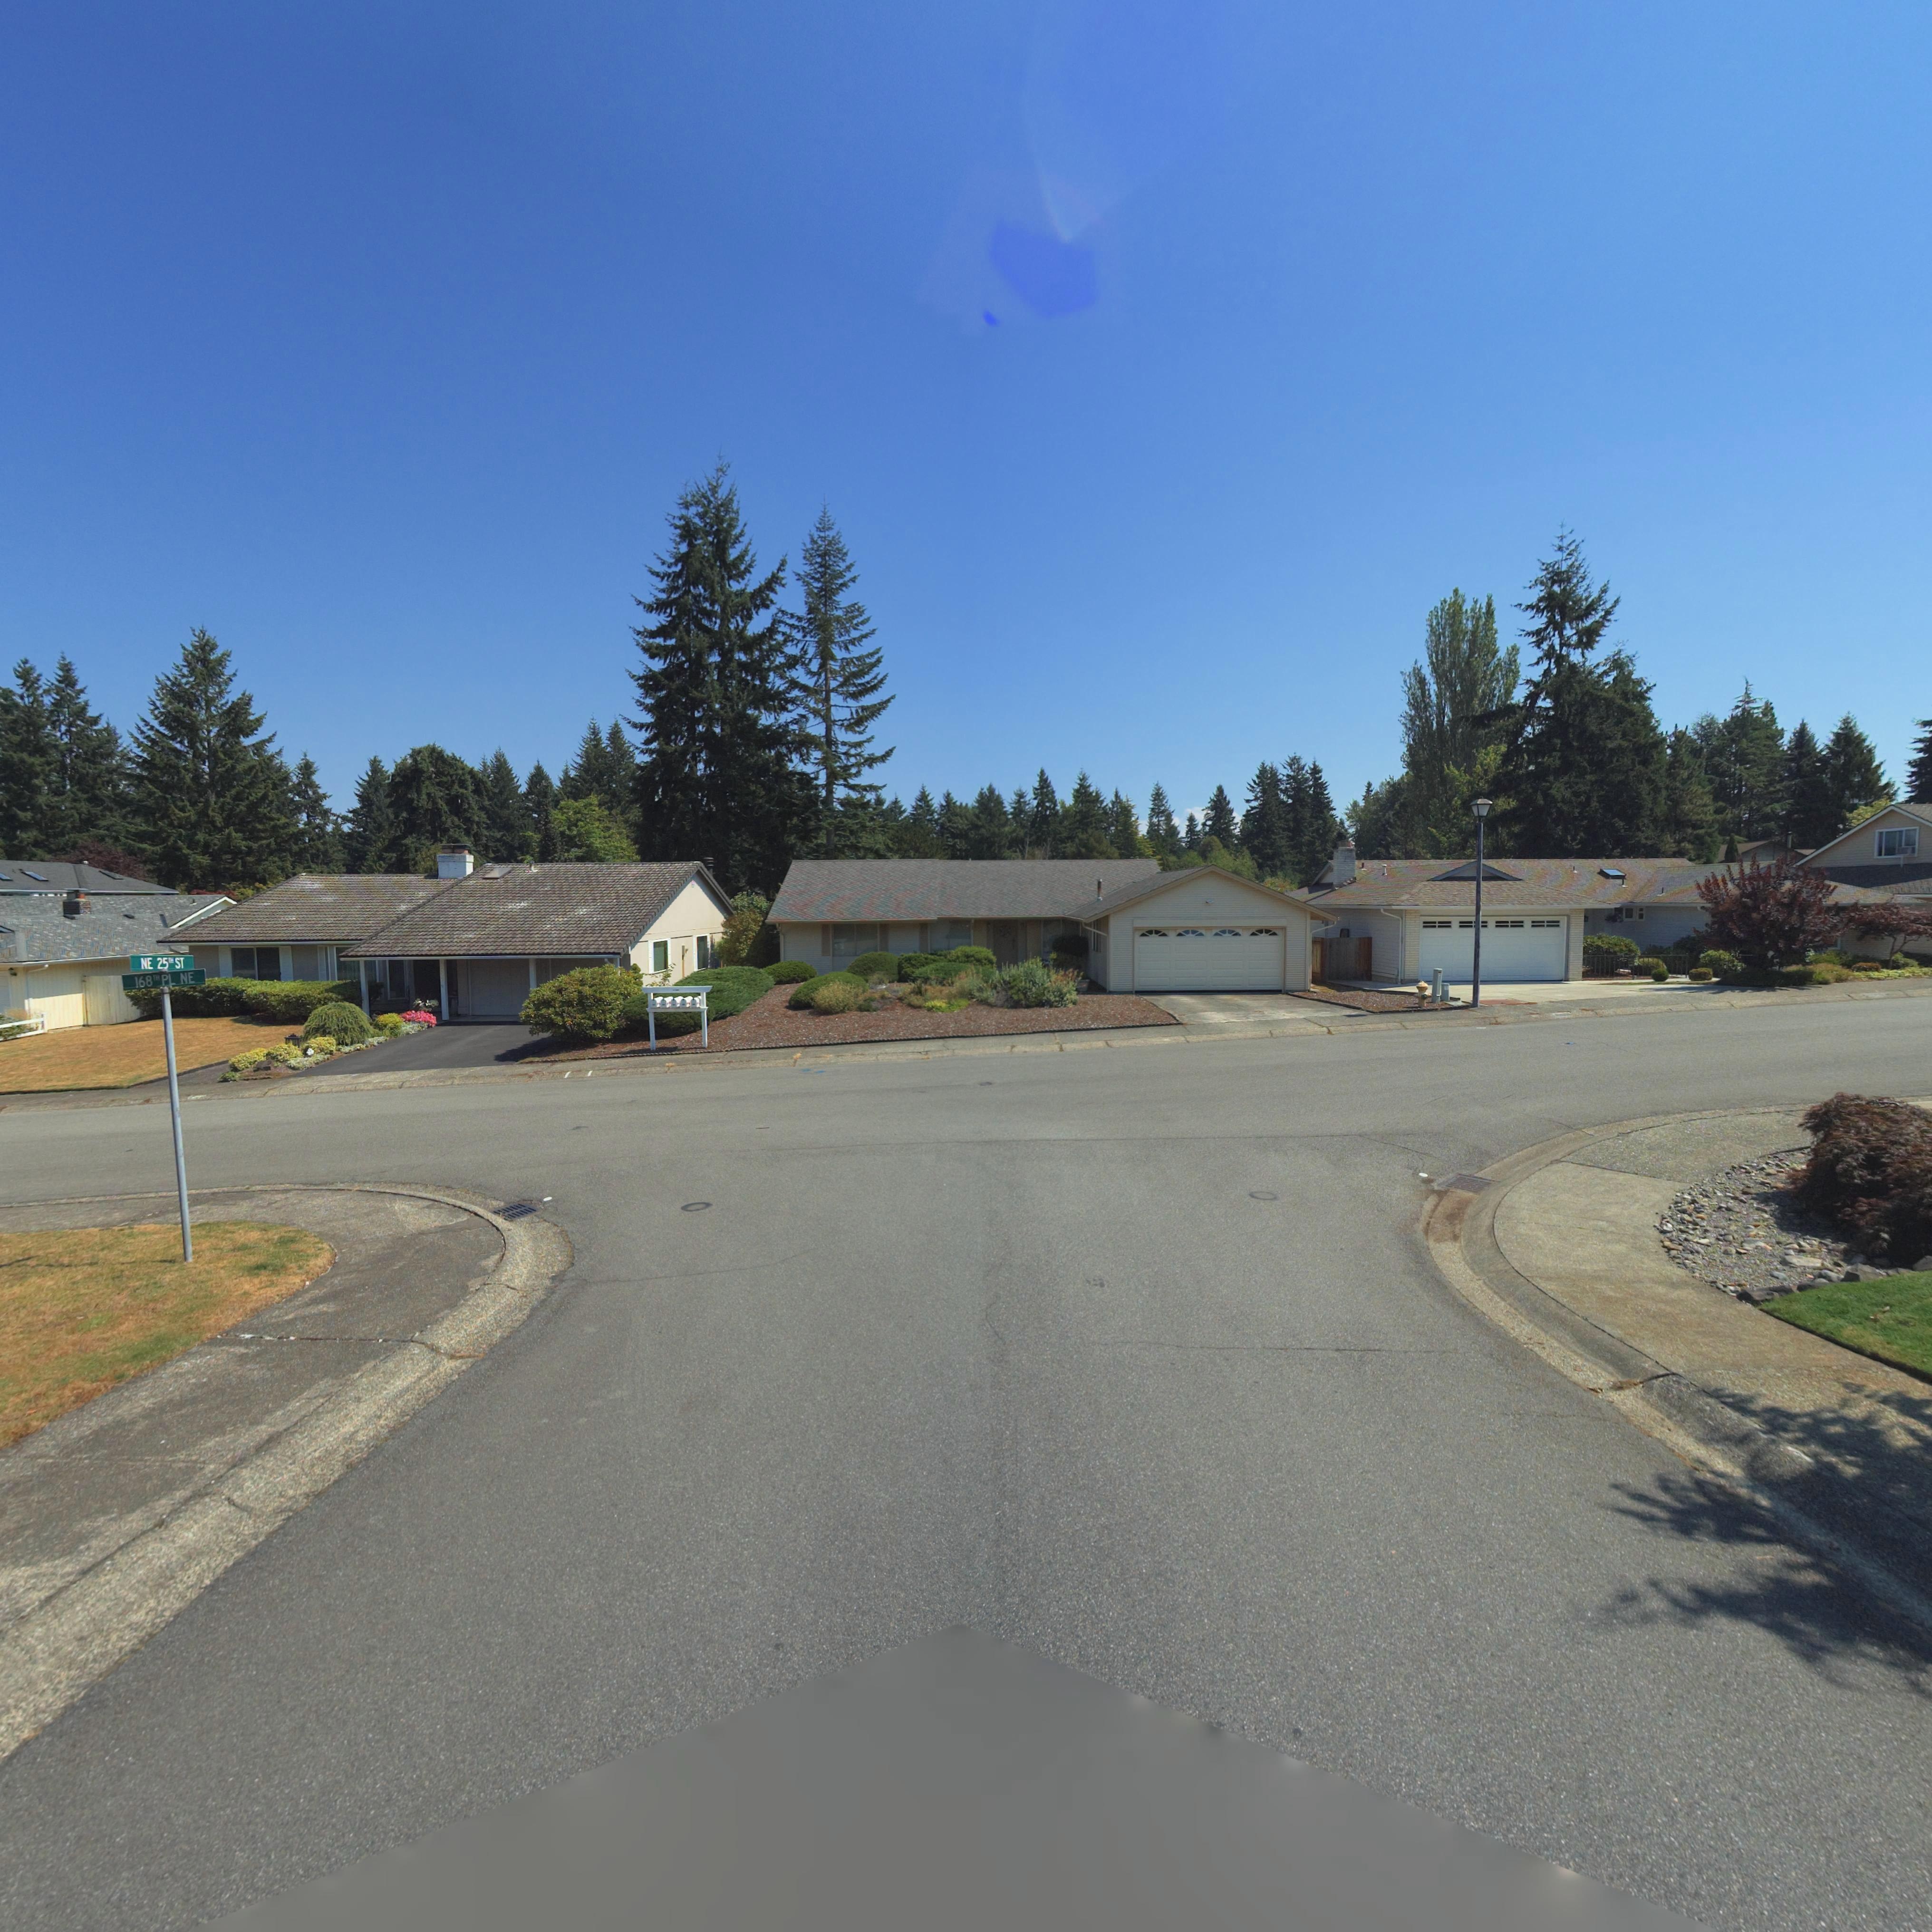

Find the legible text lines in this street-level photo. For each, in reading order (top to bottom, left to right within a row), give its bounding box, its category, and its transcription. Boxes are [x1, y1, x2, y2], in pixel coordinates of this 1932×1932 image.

[140, 957, 185, 968] StreetName: NE 25** ST
[134, 971, 195, 988] StreetName: 168TH PL NE